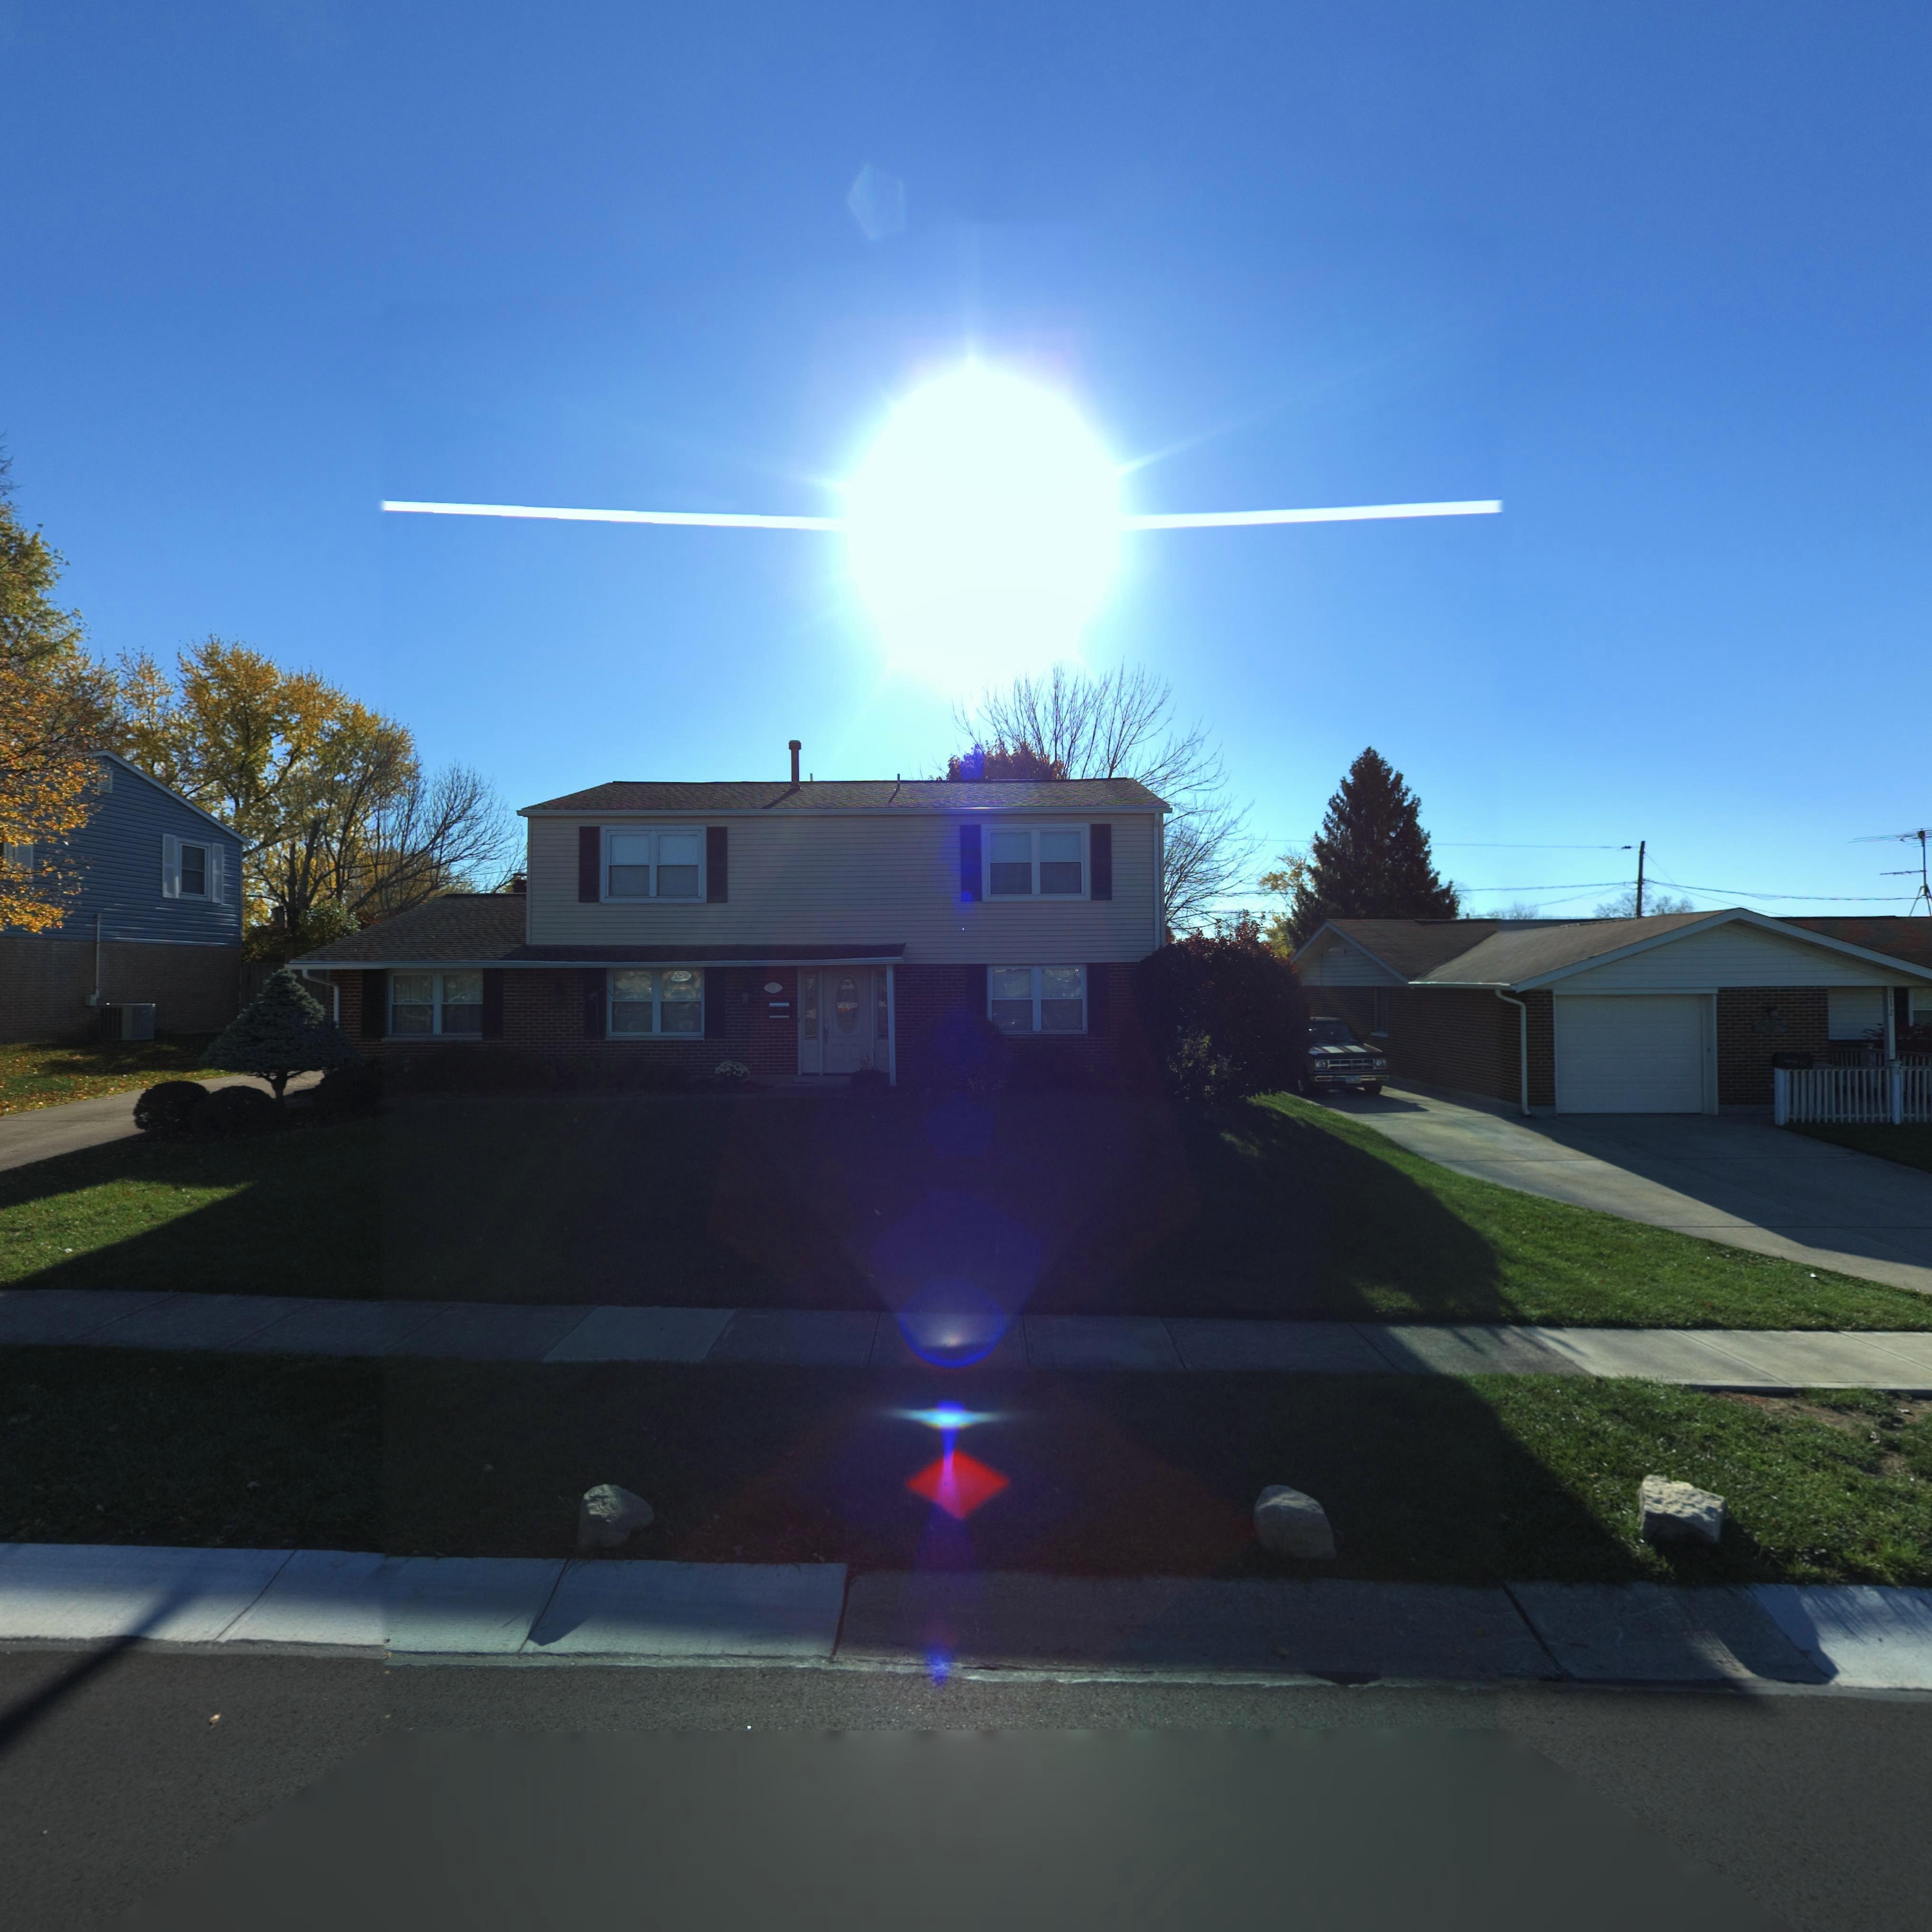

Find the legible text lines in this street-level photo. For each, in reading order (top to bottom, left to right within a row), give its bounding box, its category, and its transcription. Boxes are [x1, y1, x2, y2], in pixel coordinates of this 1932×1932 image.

[1887, 987, 1894, 1017] StreetNumber: ***2